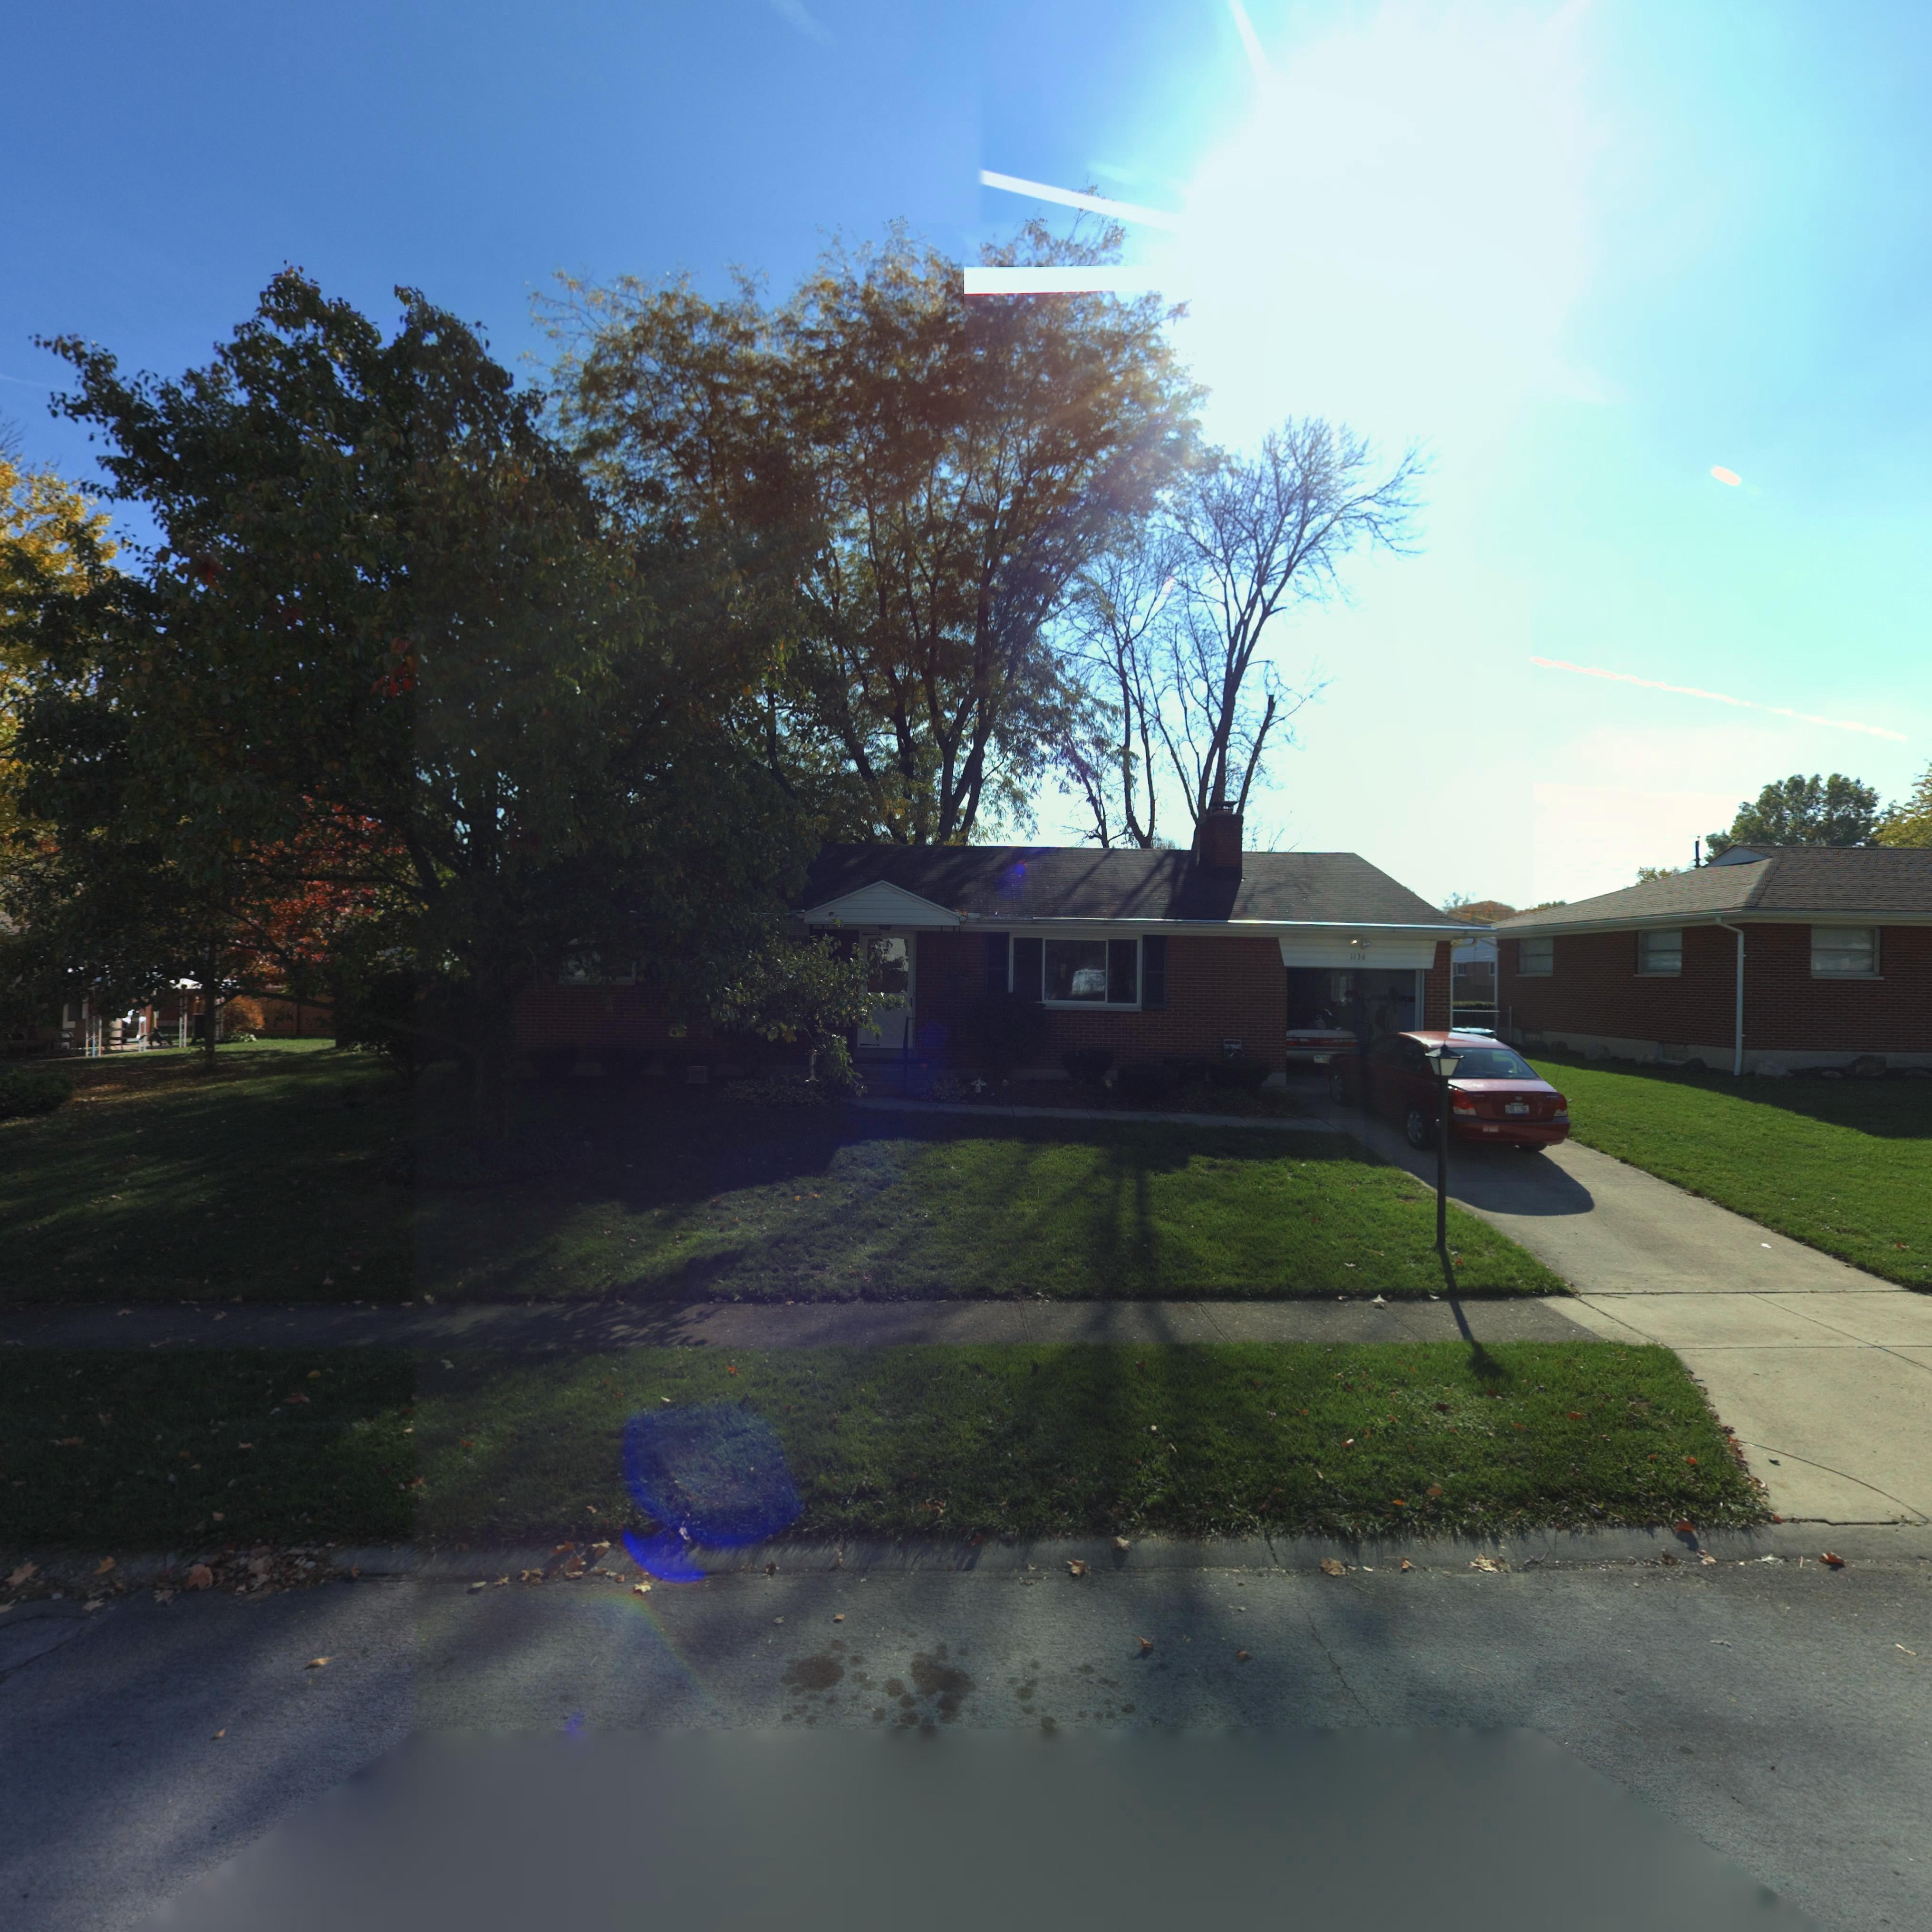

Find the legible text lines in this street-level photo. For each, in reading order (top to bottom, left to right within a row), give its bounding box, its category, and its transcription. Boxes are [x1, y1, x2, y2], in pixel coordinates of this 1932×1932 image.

[1350, 952, 1367, 961] StreetNumber: 1136